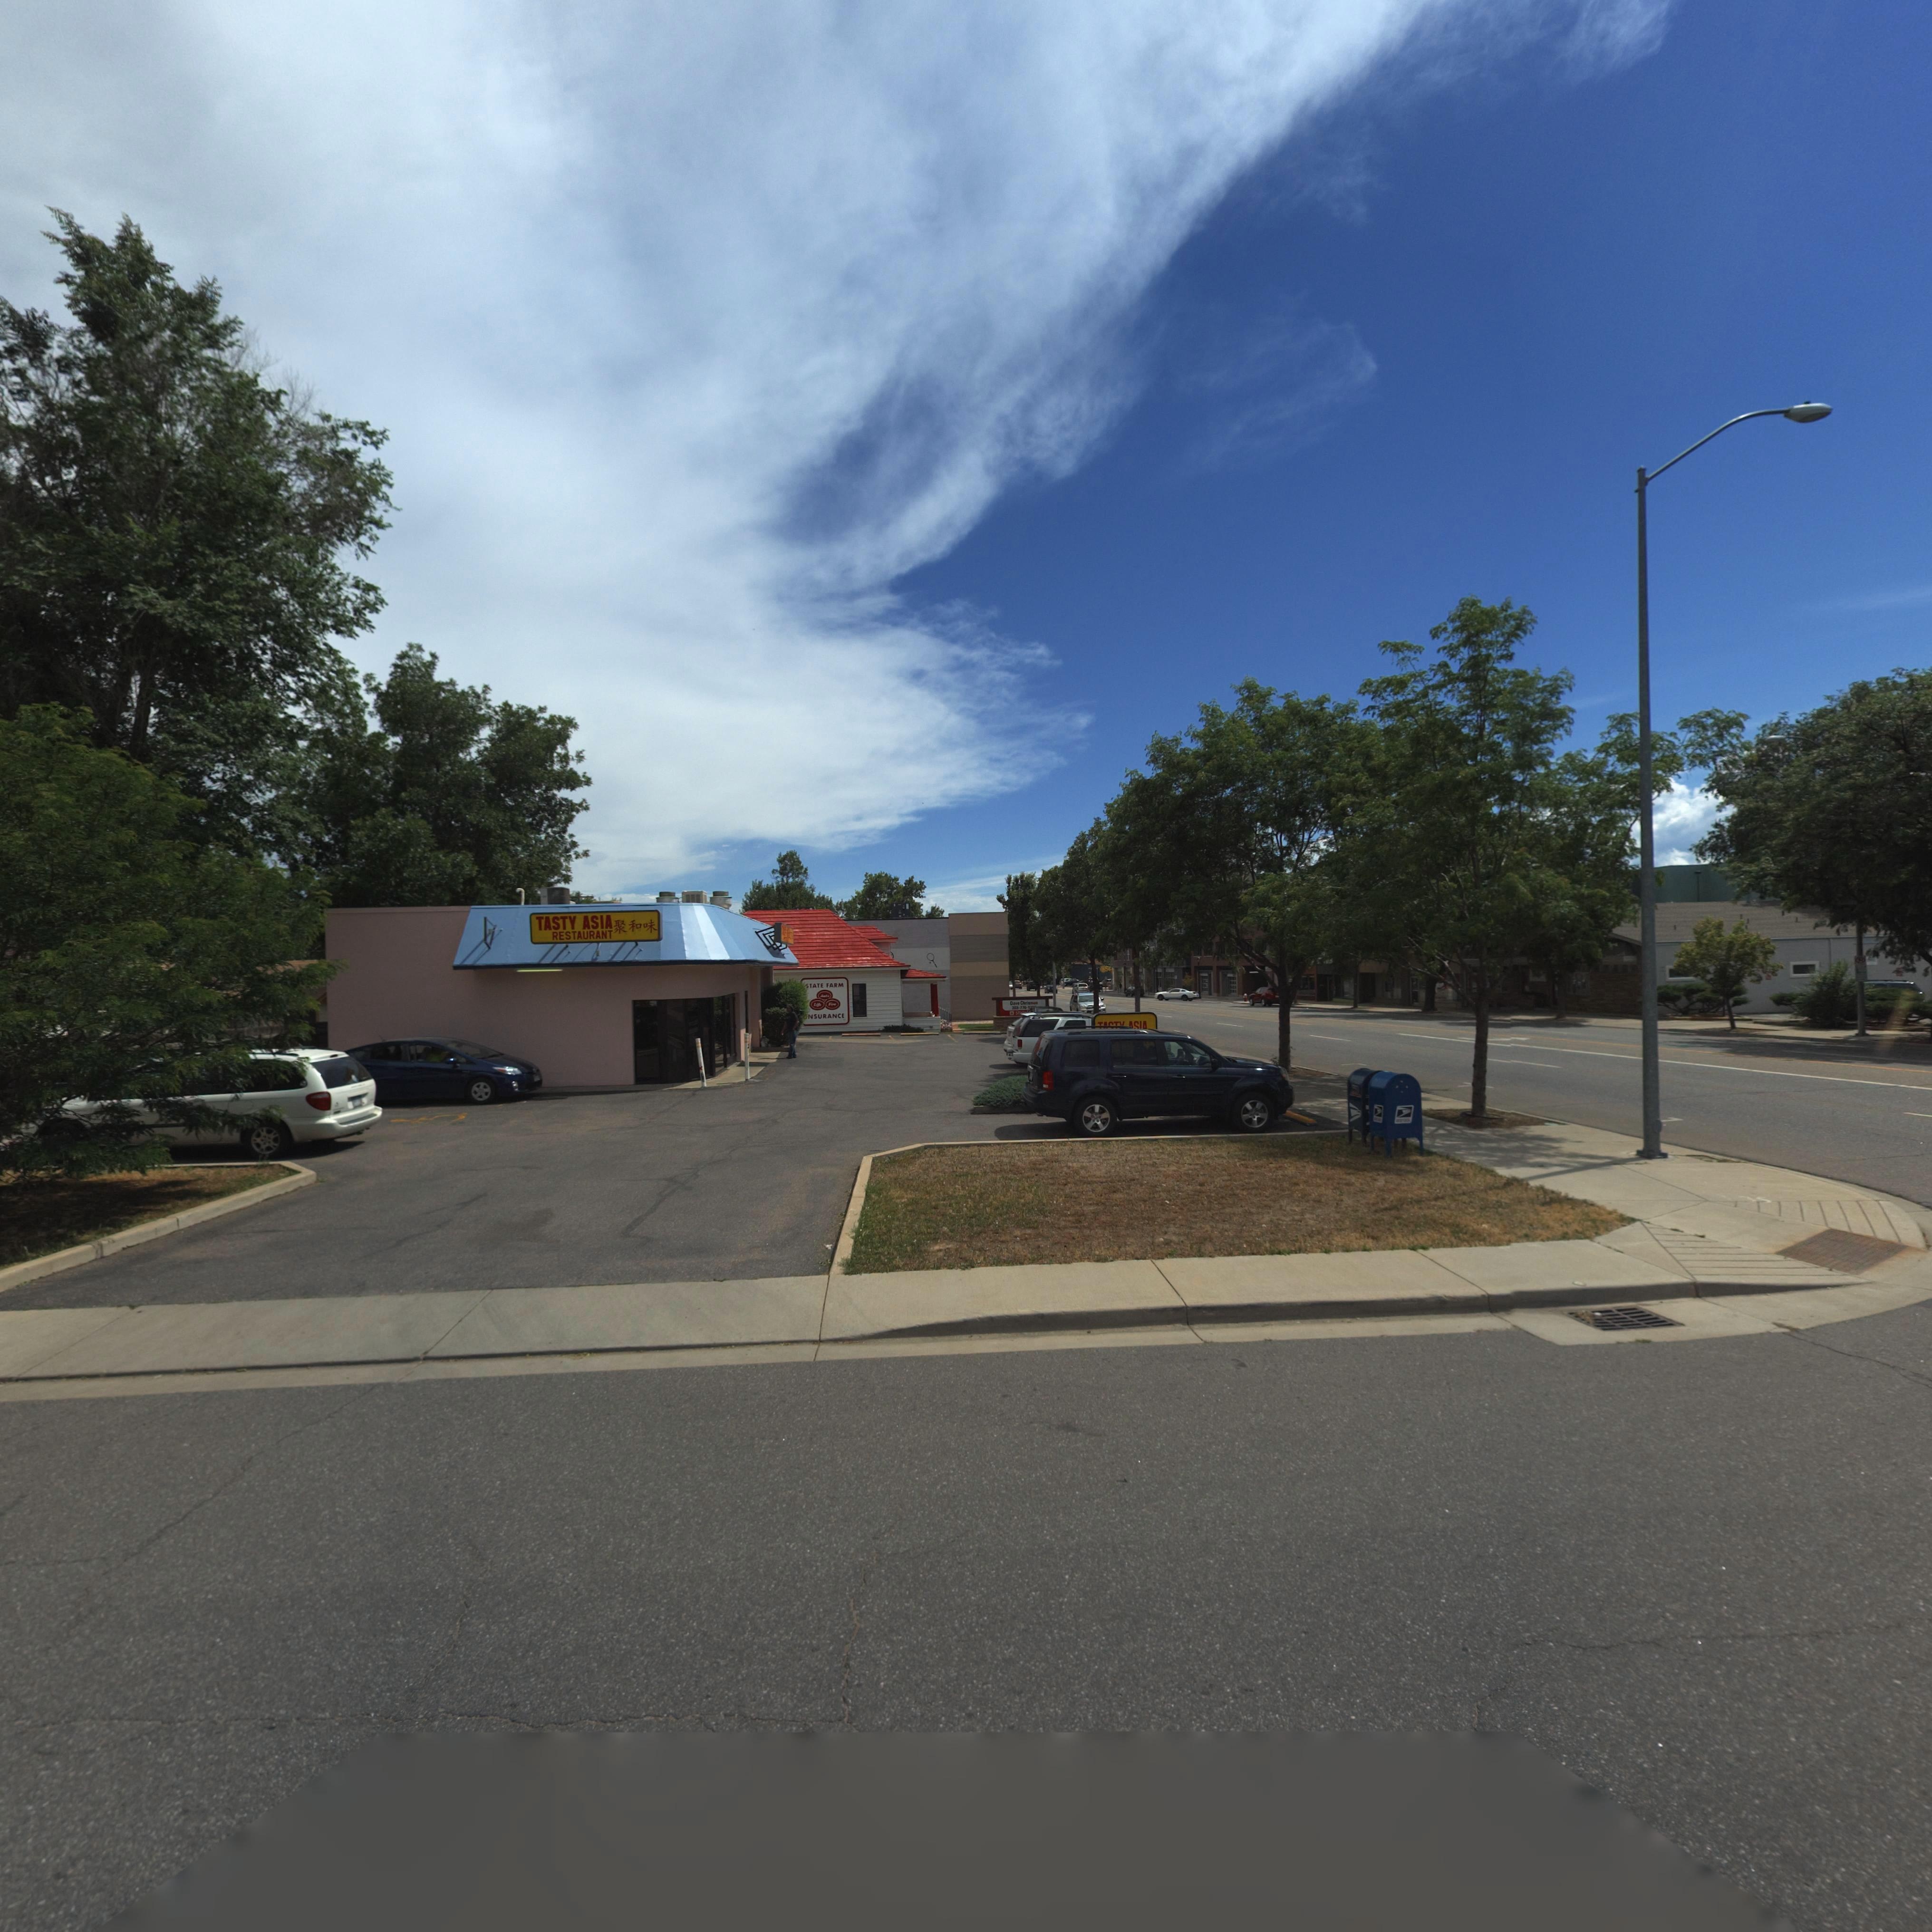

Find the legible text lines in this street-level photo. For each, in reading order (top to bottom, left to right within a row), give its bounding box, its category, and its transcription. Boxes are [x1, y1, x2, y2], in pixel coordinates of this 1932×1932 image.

[535, 914, 613, 931] BusinessName: TASTY ASIA
[552, 929, 613, 940] BusinessName: RESTAURANT
[805, 982, 843, 988] BusinessName: STATE FARM
[807, 1013, 844, 1019] BusinessName: NSURANCE
[1014, 1010, 1022, 1015] BusinessName: St*